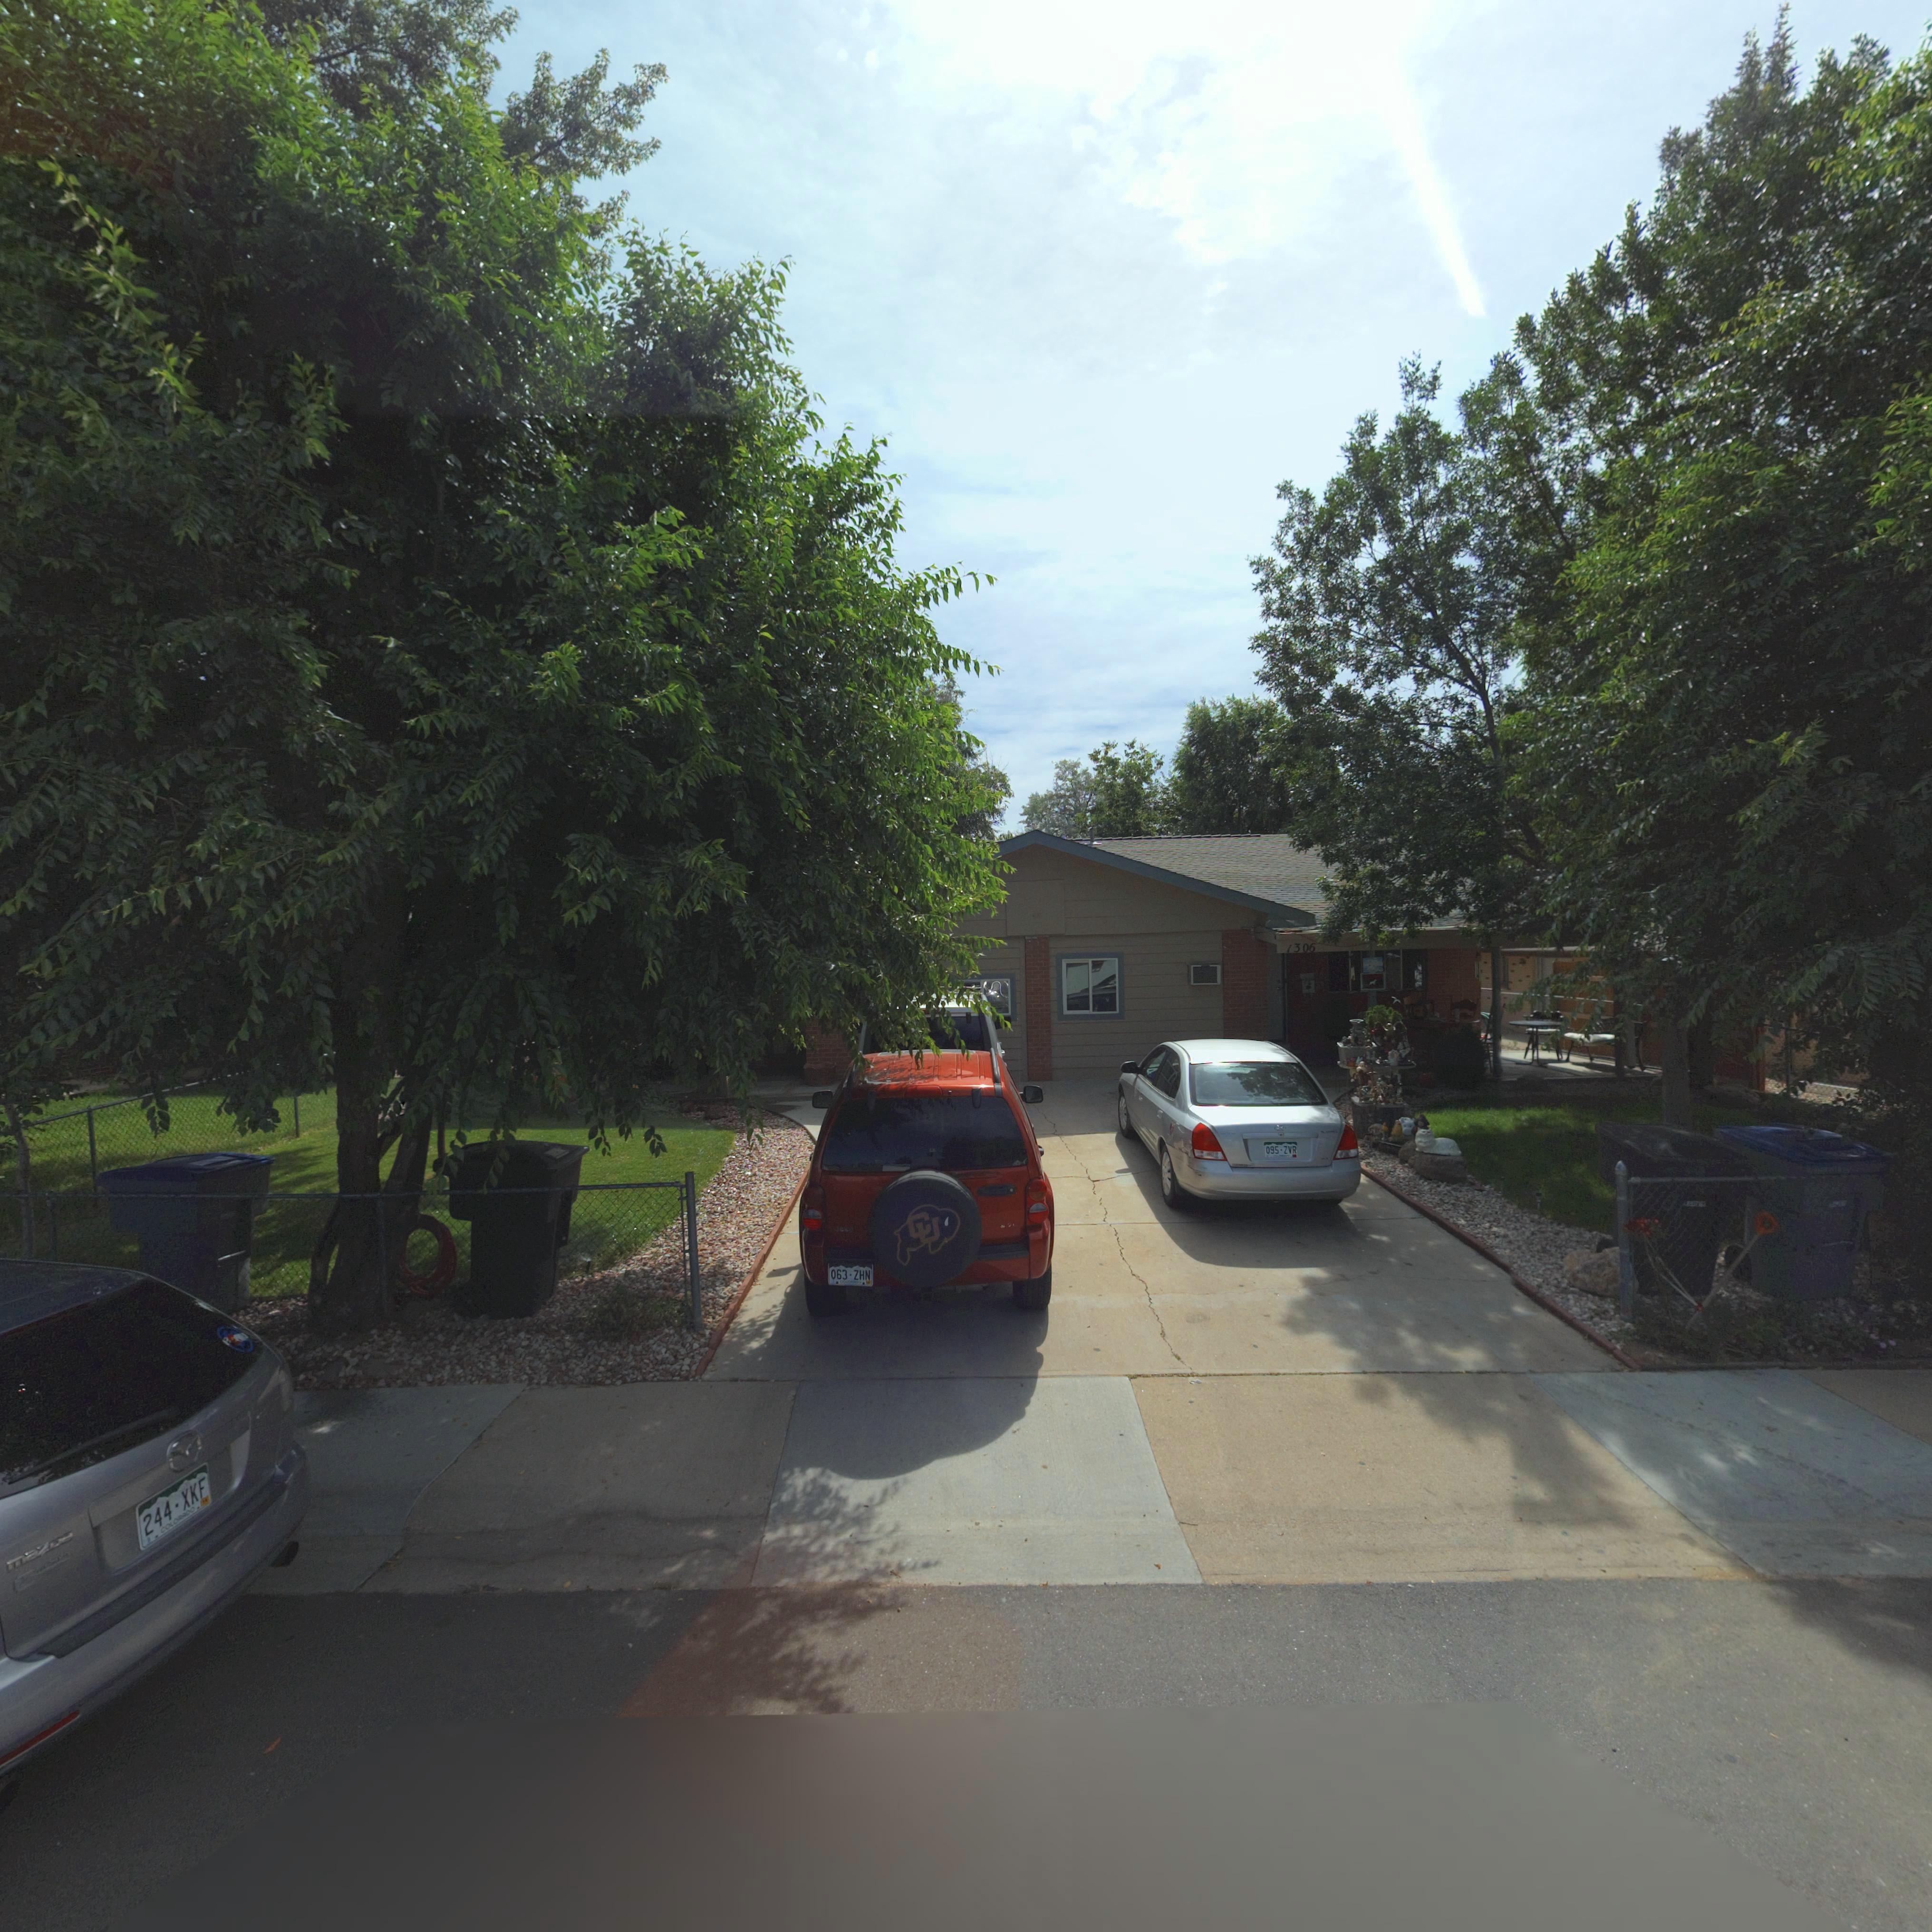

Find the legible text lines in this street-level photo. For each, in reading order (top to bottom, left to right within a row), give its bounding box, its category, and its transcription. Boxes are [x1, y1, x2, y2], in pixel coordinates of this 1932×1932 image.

[1285, 942, 1316, 953] StreetNumber: 1306